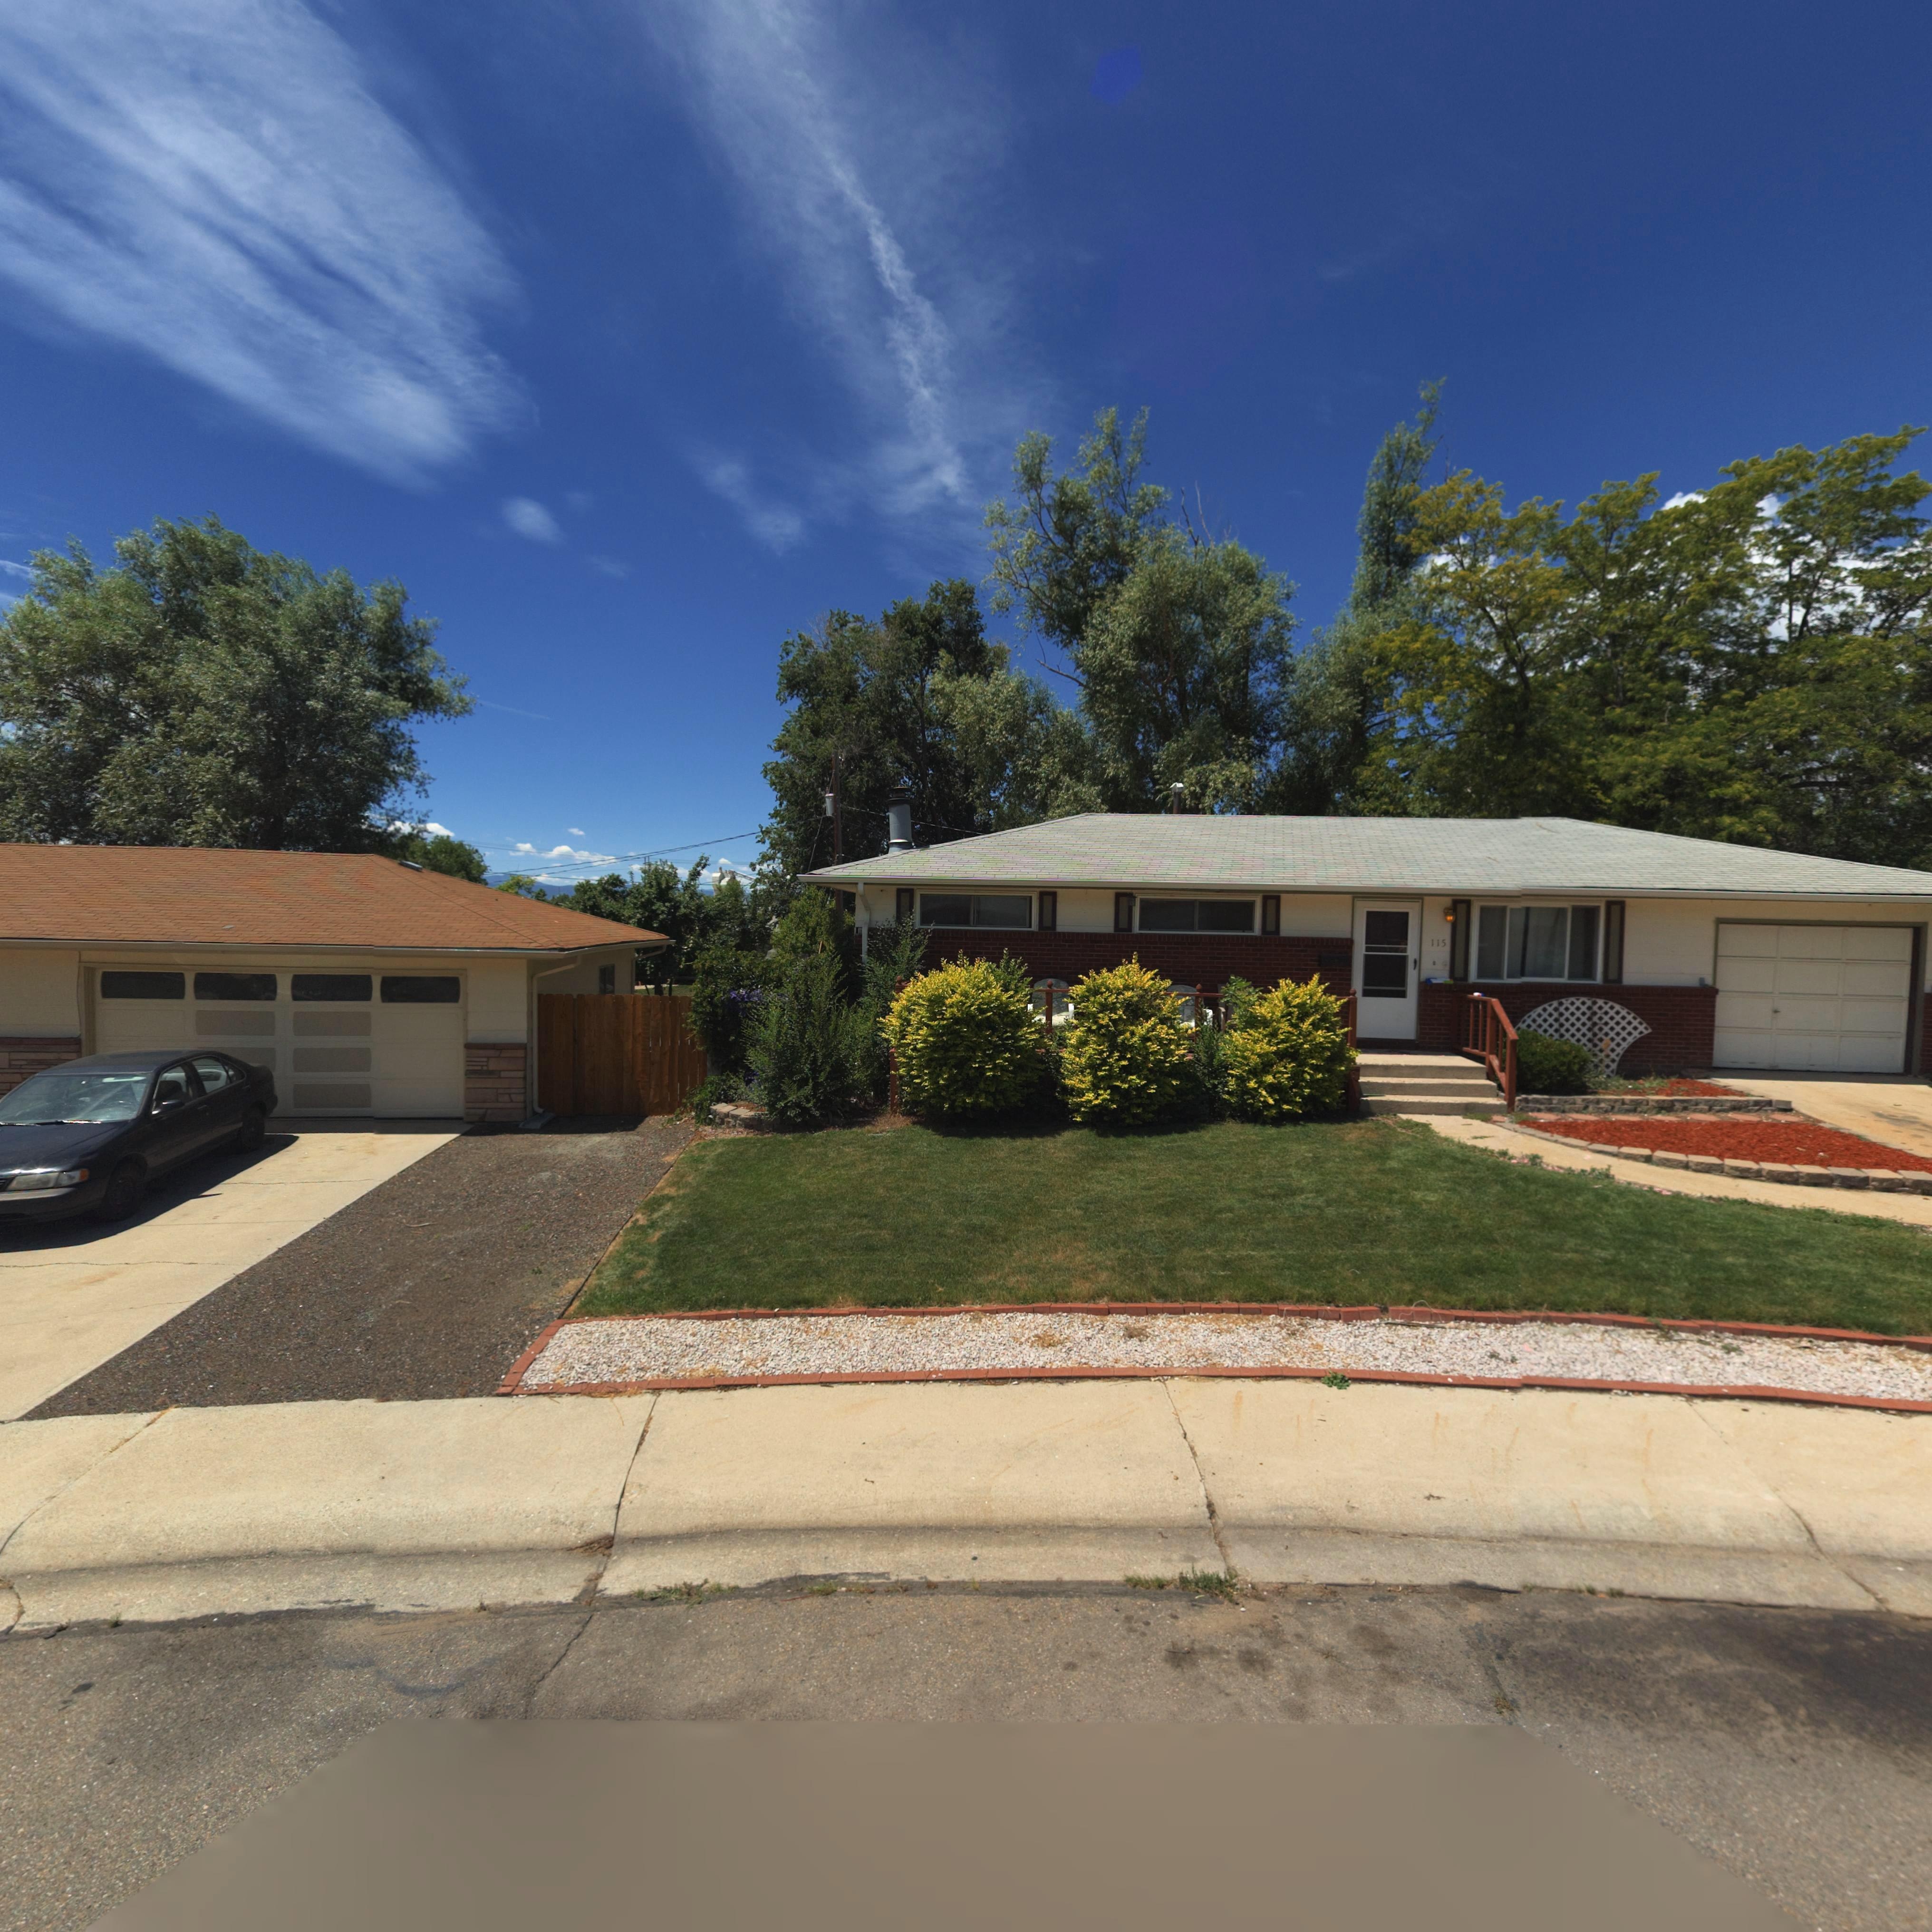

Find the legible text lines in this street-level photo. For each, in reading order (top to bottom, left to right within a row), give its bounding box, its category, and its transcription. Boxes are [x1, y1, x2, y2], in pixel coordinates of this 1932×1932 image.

[1430, 938, 1446, 947] StreetNumber: 115